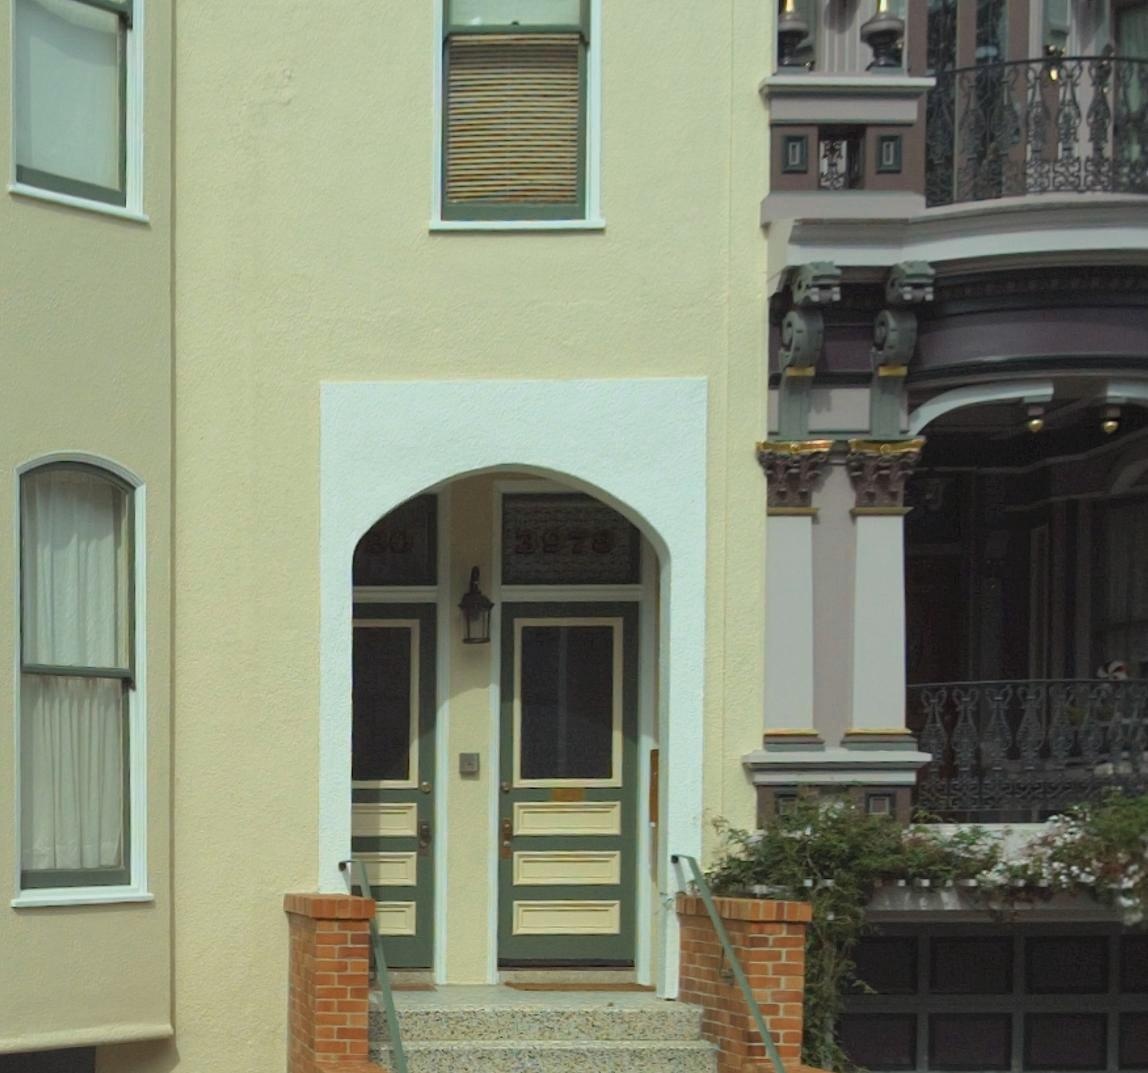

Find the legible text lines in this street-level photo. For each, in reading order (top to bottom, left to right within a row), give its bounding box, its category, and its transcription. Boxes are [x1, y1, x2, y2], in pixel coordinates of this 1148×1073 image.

[365, 529, 409, 557] StreetNumber: 80
[512, 528, 613, 556] StreetNumber: 3978